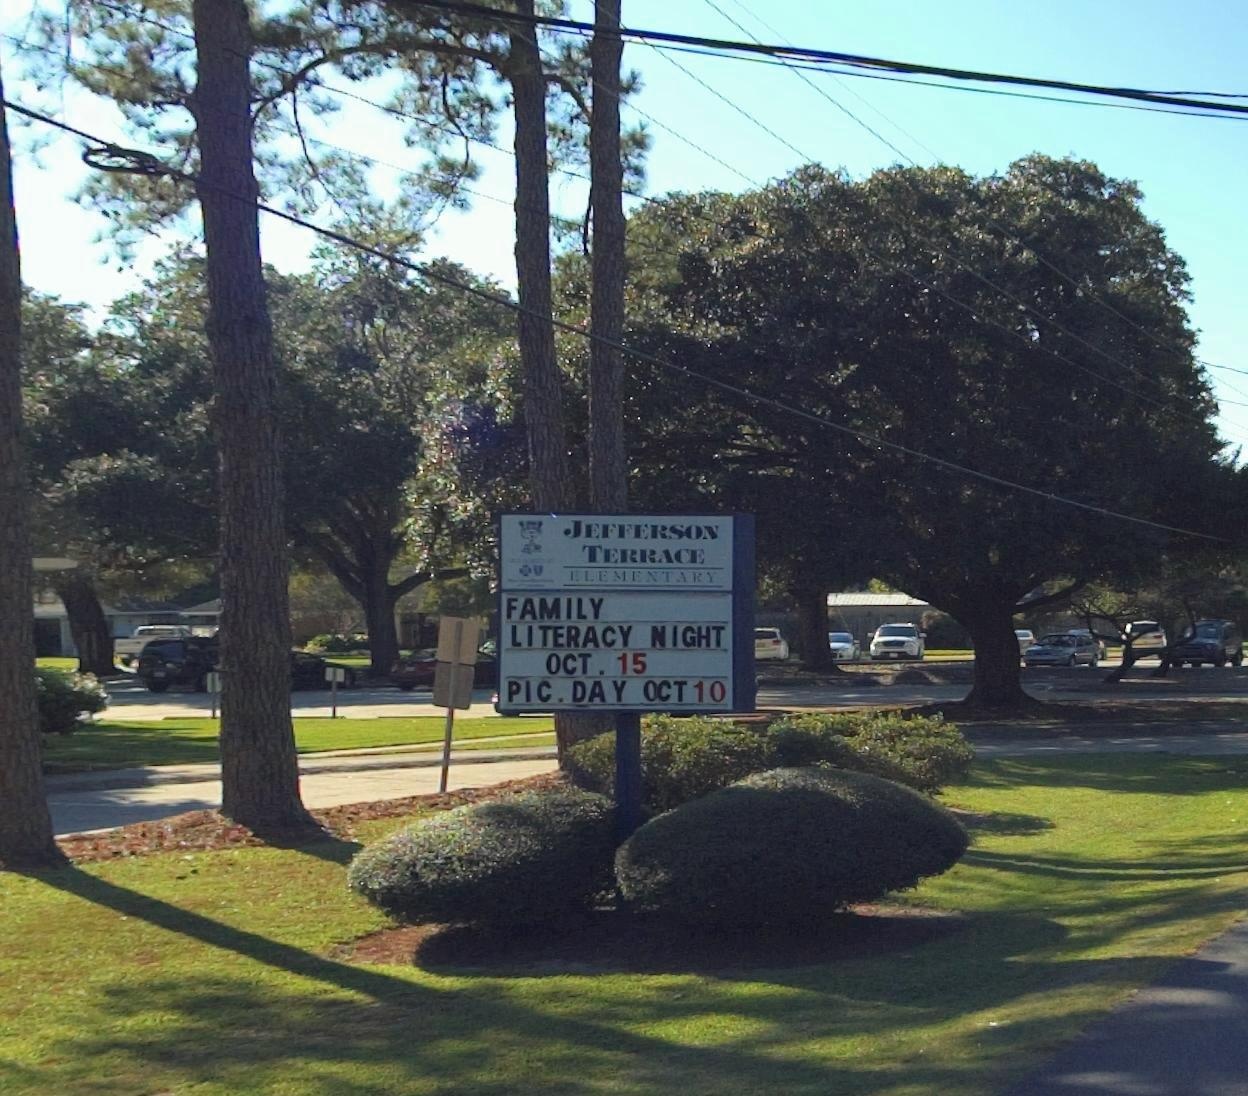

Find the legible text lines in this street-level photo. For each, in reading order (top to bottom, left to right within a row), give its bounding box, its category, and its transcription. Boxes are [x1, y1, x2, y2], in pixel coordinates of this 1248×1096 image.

[558, 517, 724, 543] BusinessName: JEFFERSON
[579, 541, 708, 566] BusinessName: TERRACE
[568, 567, 718, 586] BusinessName: ELEMENTARY
[503, 593, 608, 623] None: FAMILY
[508, 623, 727, 651] None: LITERACY NIGHT
[544, 649, 650, 677] None: OCT. 15
[504, 676, 731, 706] None: PIC. DAY OCT 10